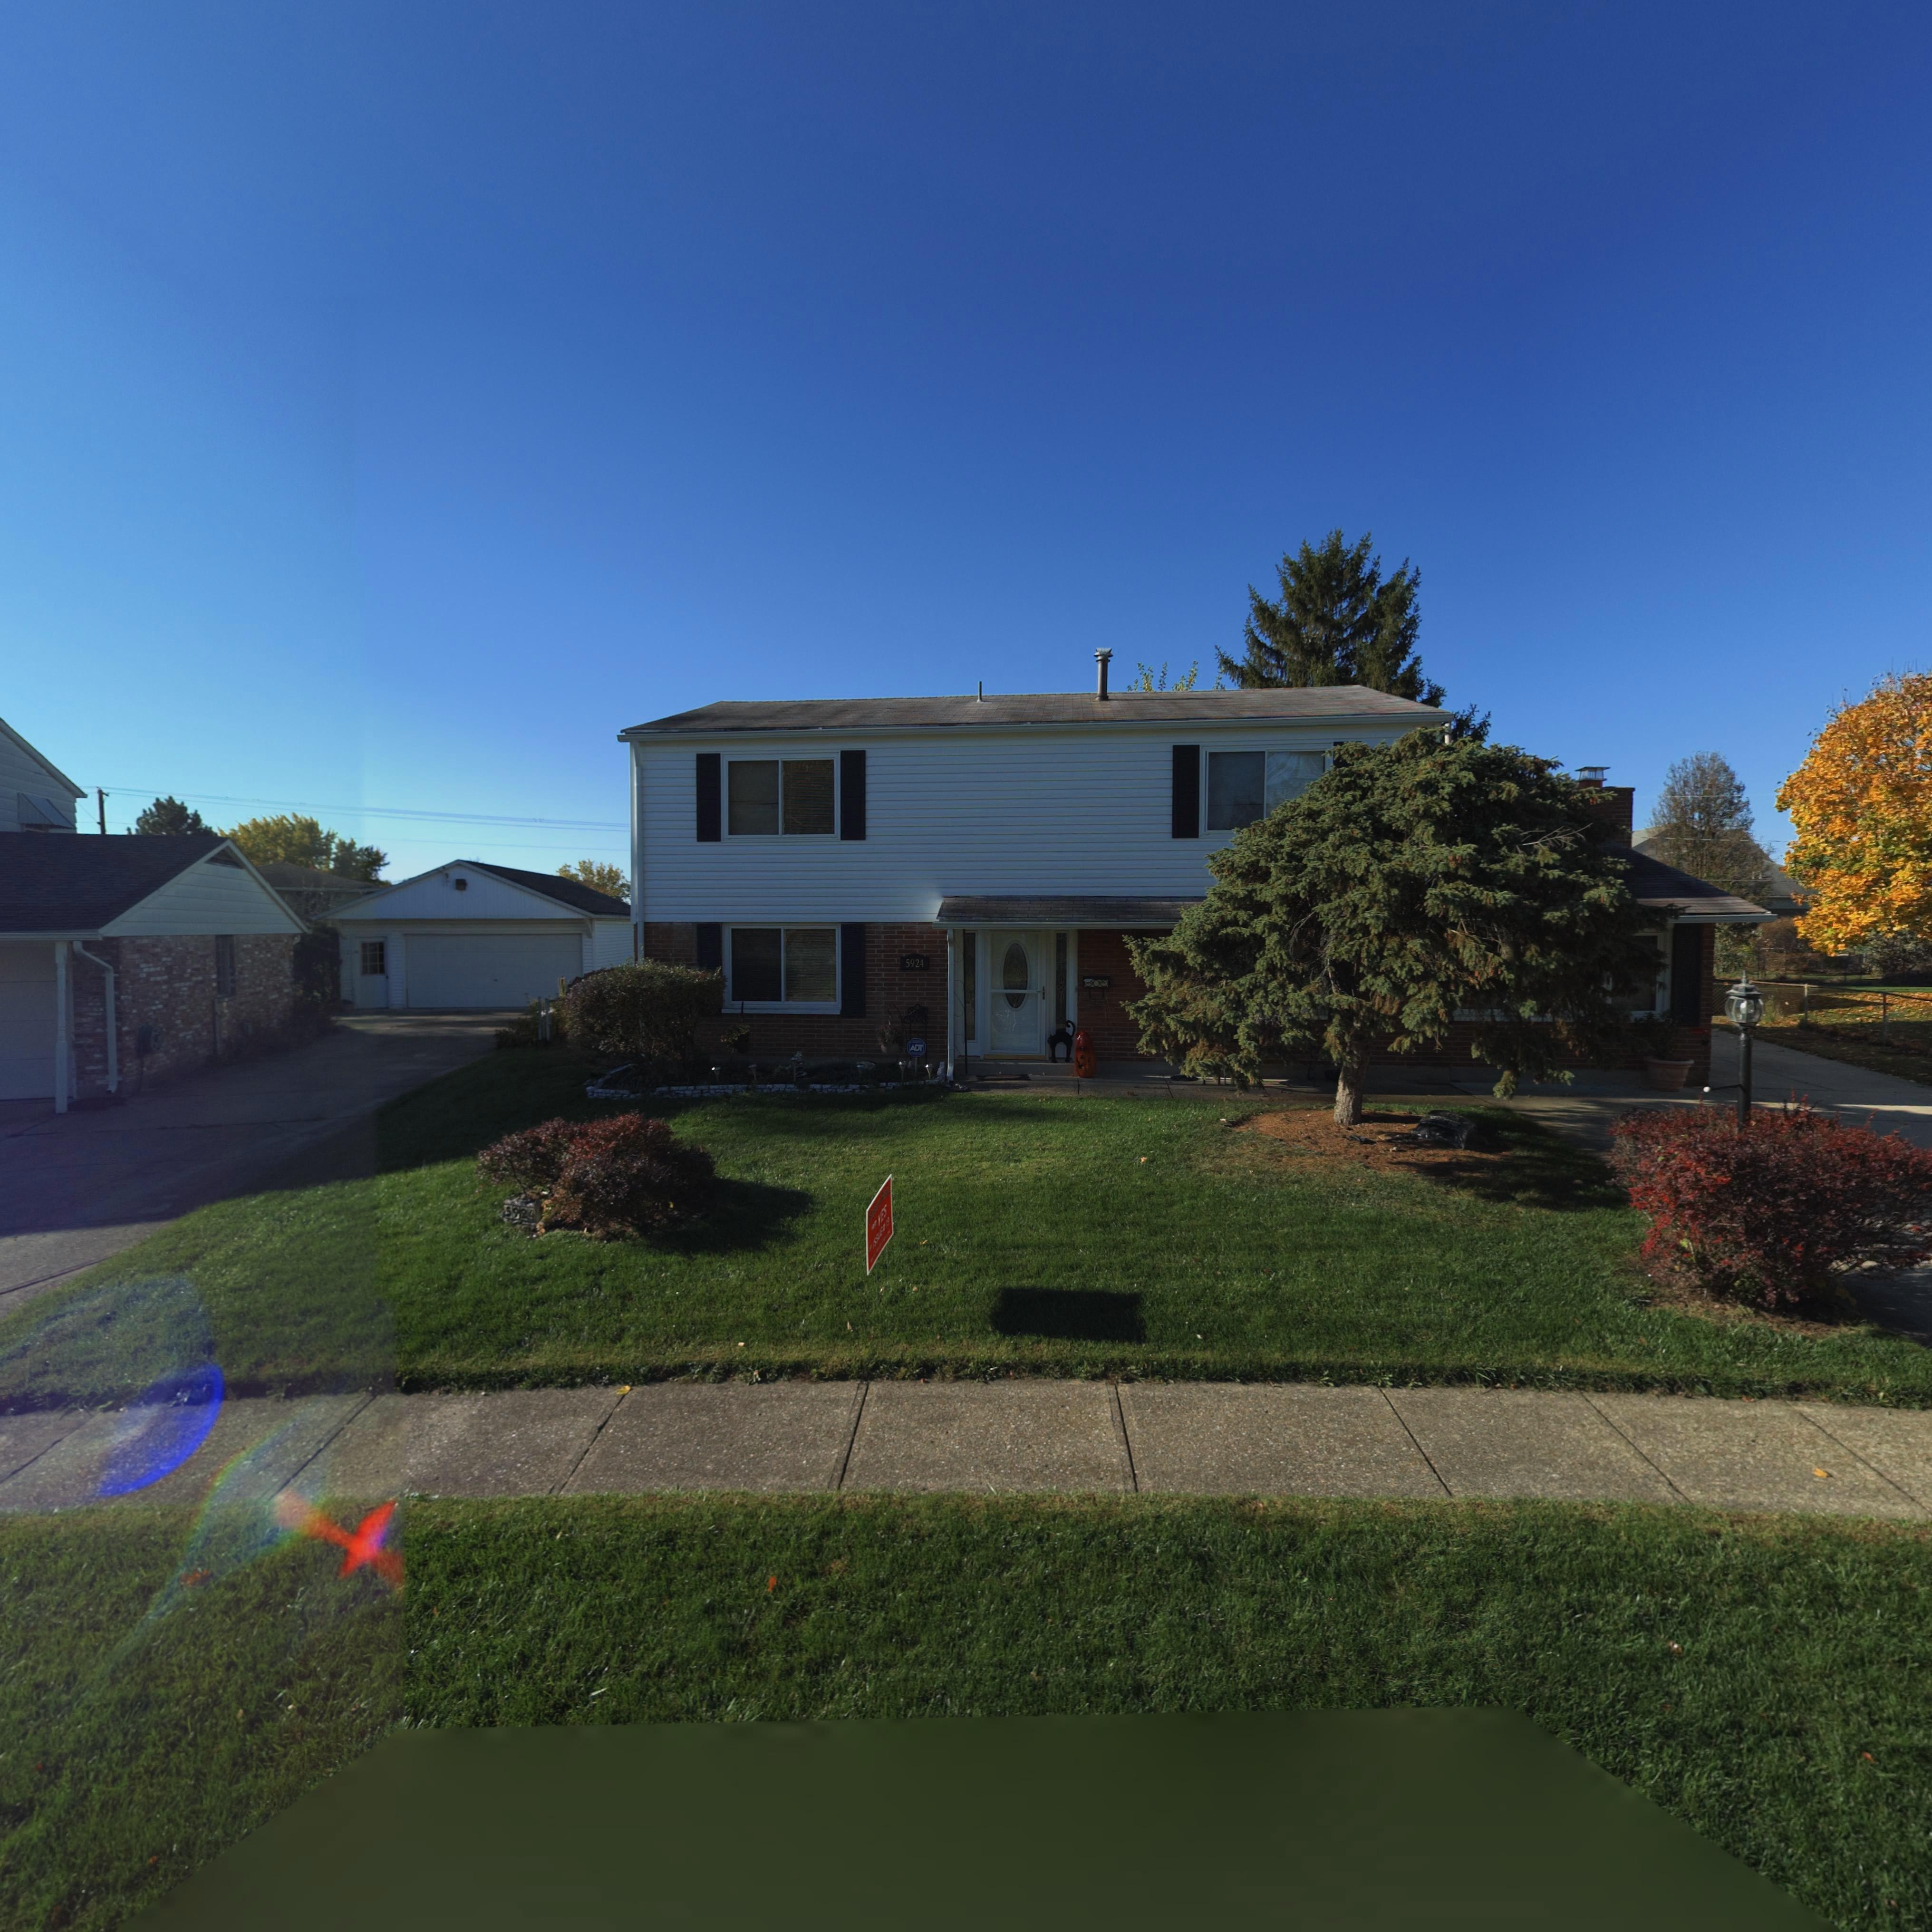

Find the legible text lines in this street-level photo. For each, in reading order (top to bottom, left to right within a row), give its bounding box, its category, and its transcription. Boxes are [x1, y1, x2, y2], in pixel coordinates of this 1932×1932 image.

[905, 958, 925, 969] StreetNumber: 5924